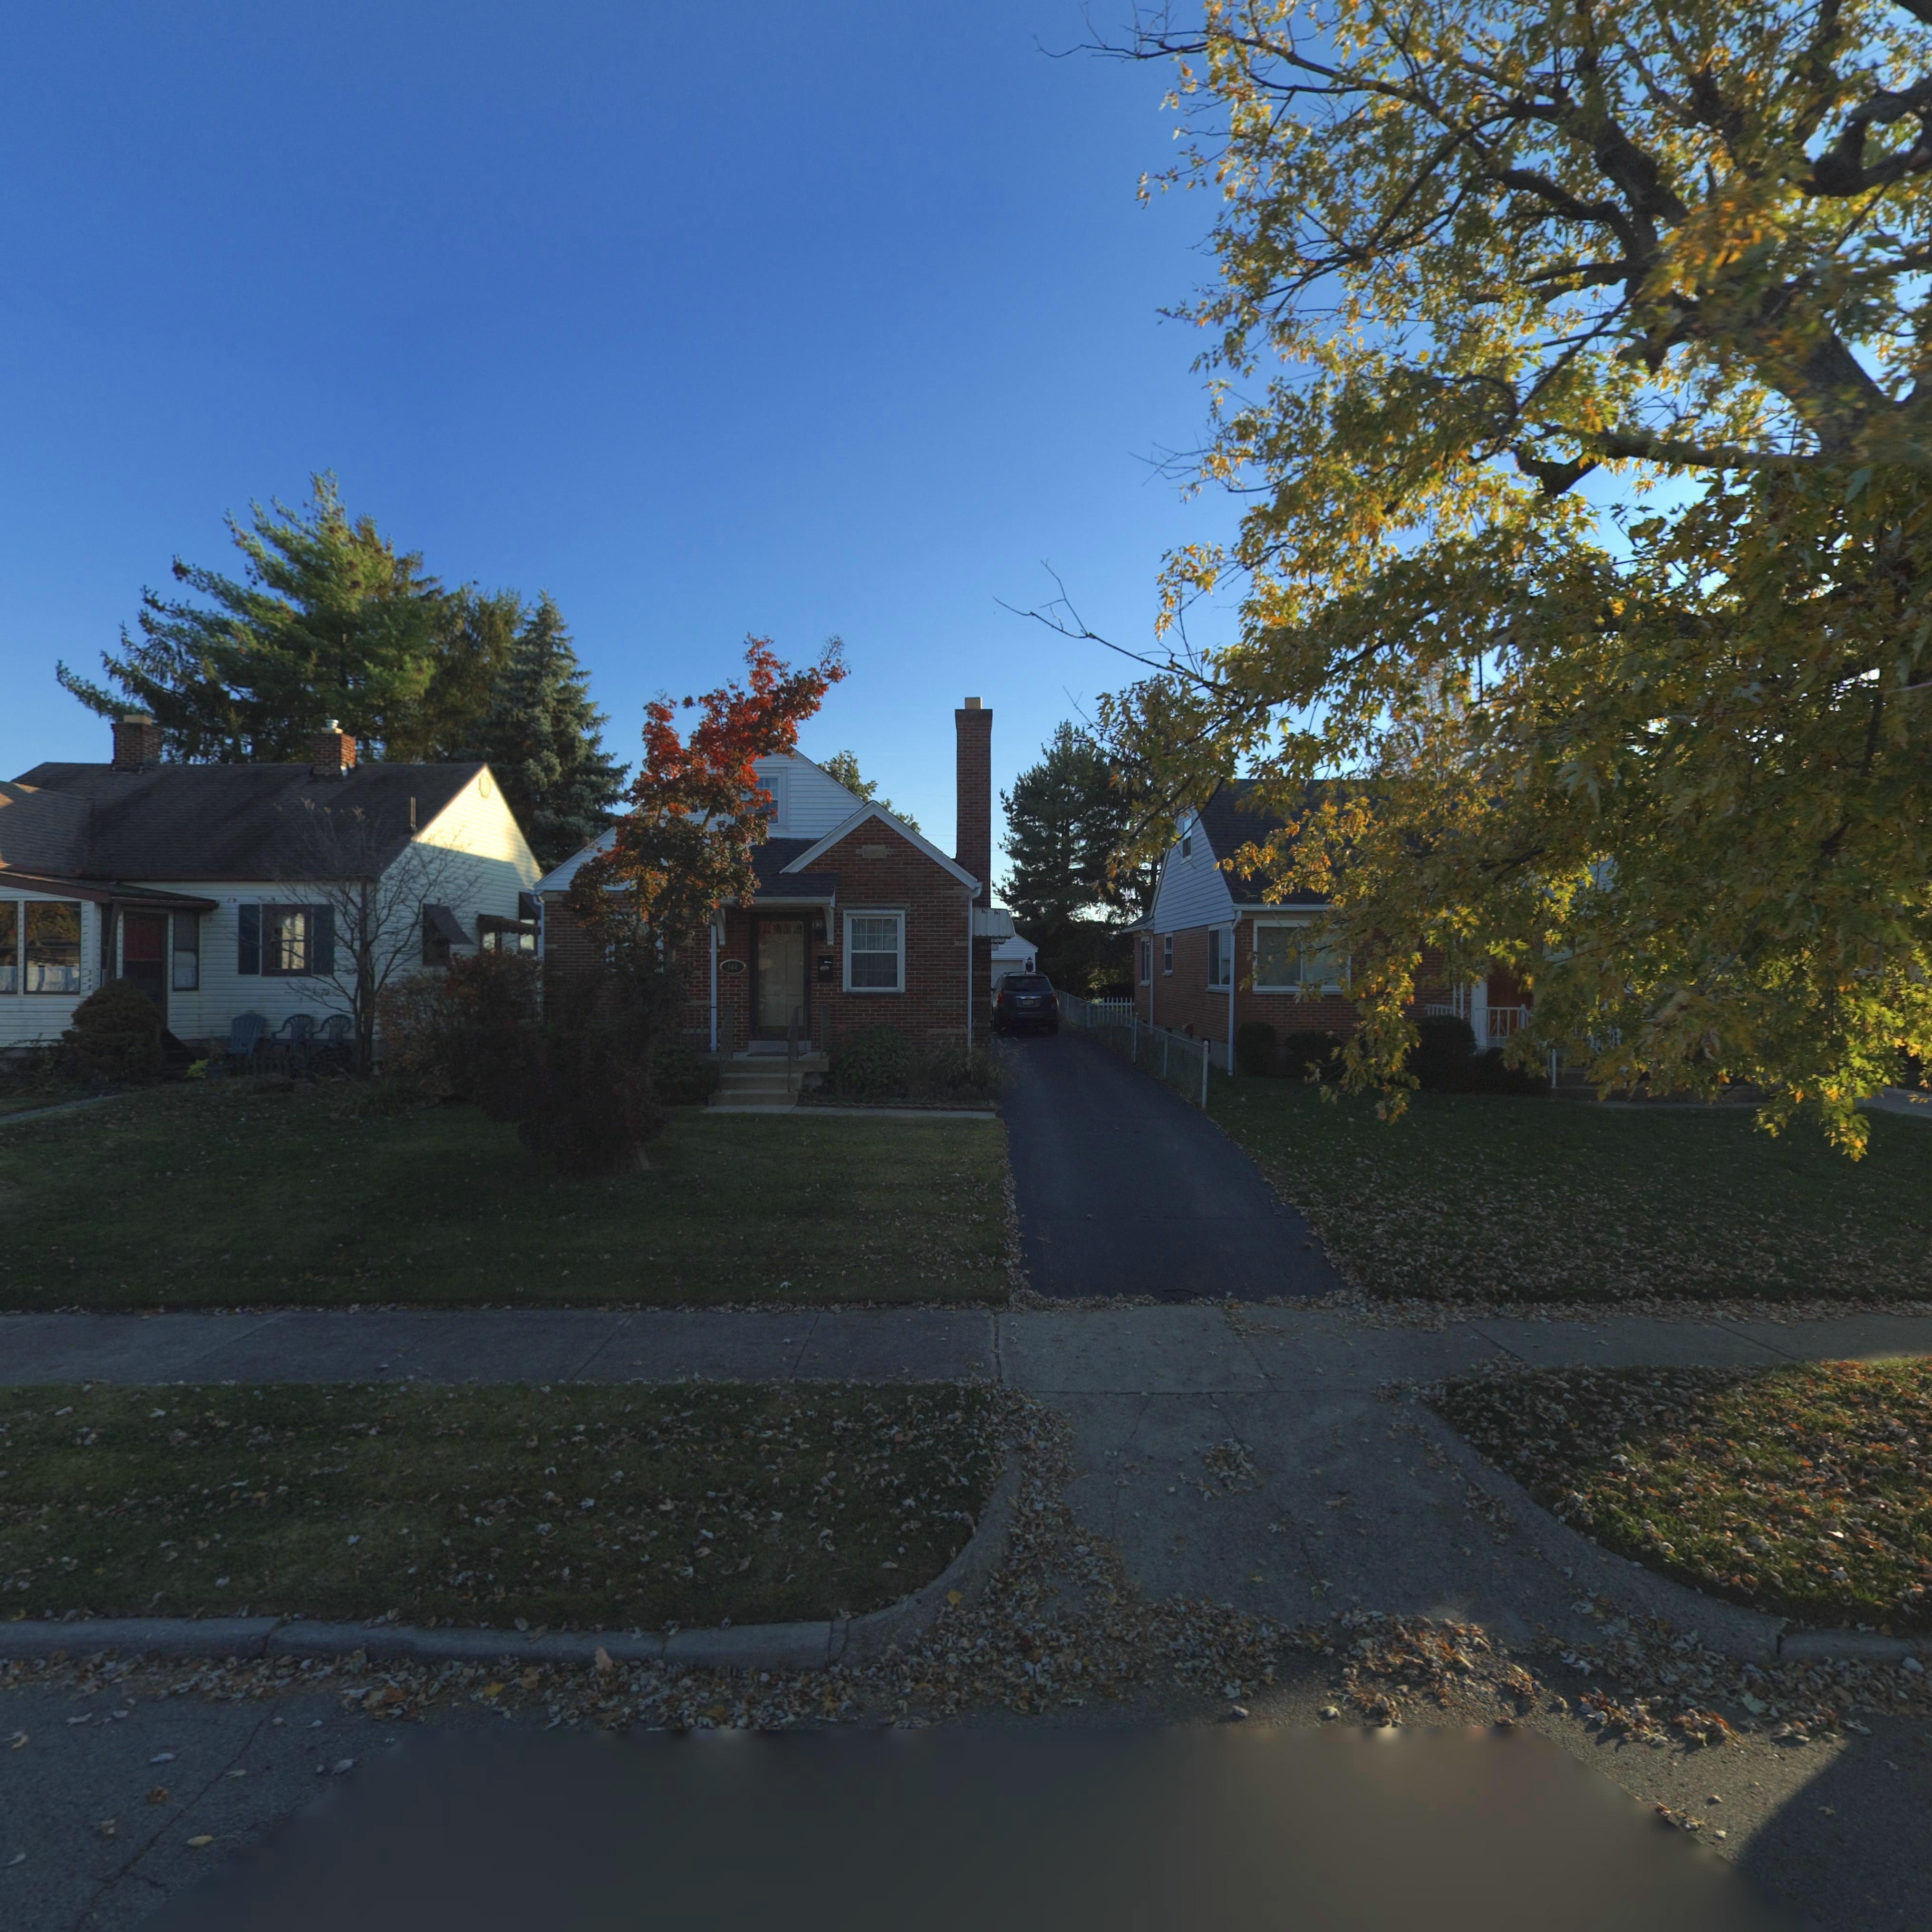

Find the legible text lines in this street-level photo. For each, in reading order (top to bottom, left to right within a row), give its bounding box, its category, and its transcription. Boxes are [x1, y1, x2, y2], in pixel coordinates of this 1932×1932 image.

[726, 963, 738, 971] StreetNumber: 344
[87, 969, 93, 991] StreetNumber: 3**